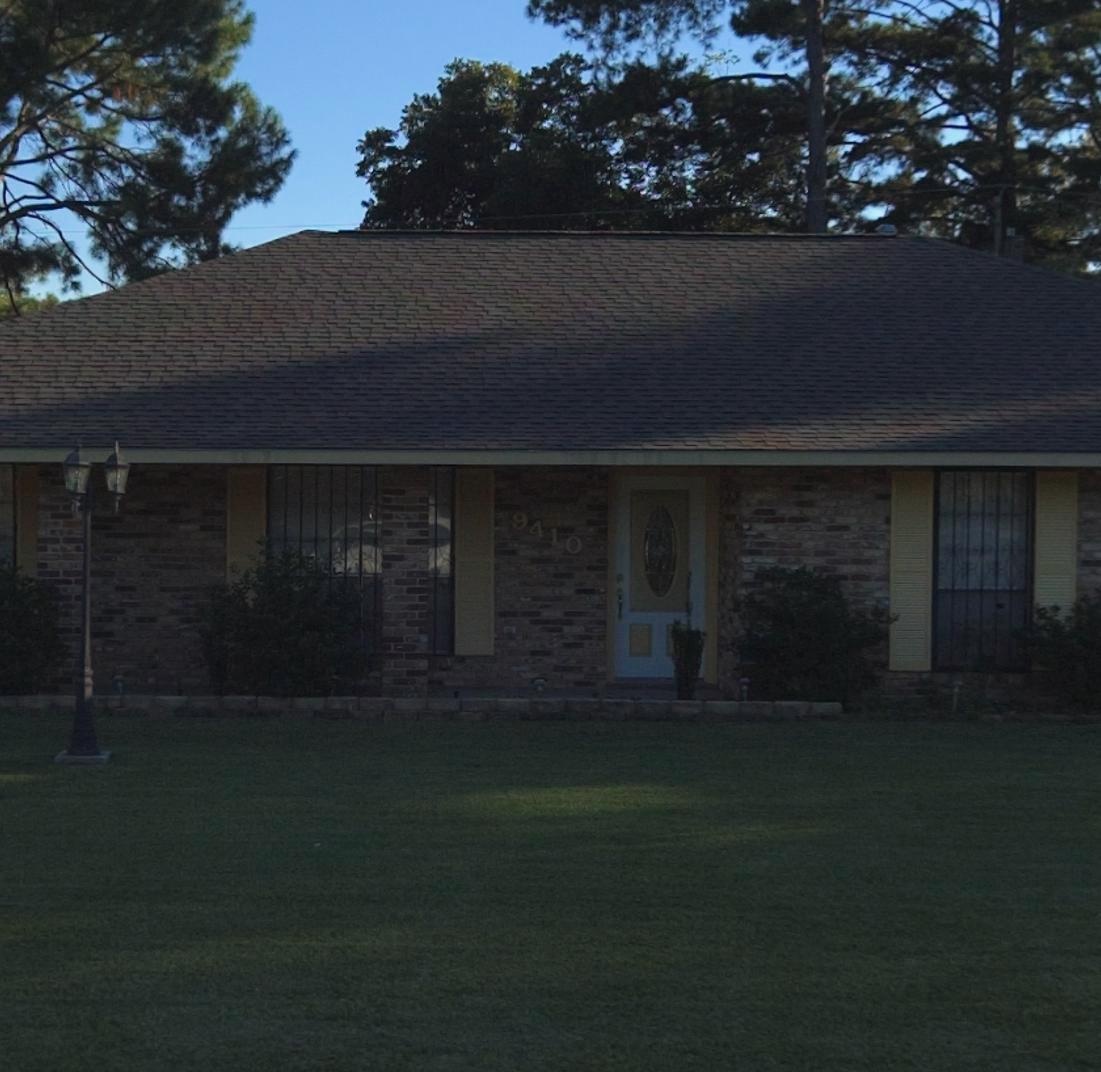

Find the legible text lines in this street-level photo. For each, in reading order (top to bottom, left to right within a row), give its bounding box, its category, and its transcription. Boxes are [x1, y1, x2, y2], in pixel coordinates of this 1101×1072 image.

[510, 510, 586, 559] StreetNumber: 9410